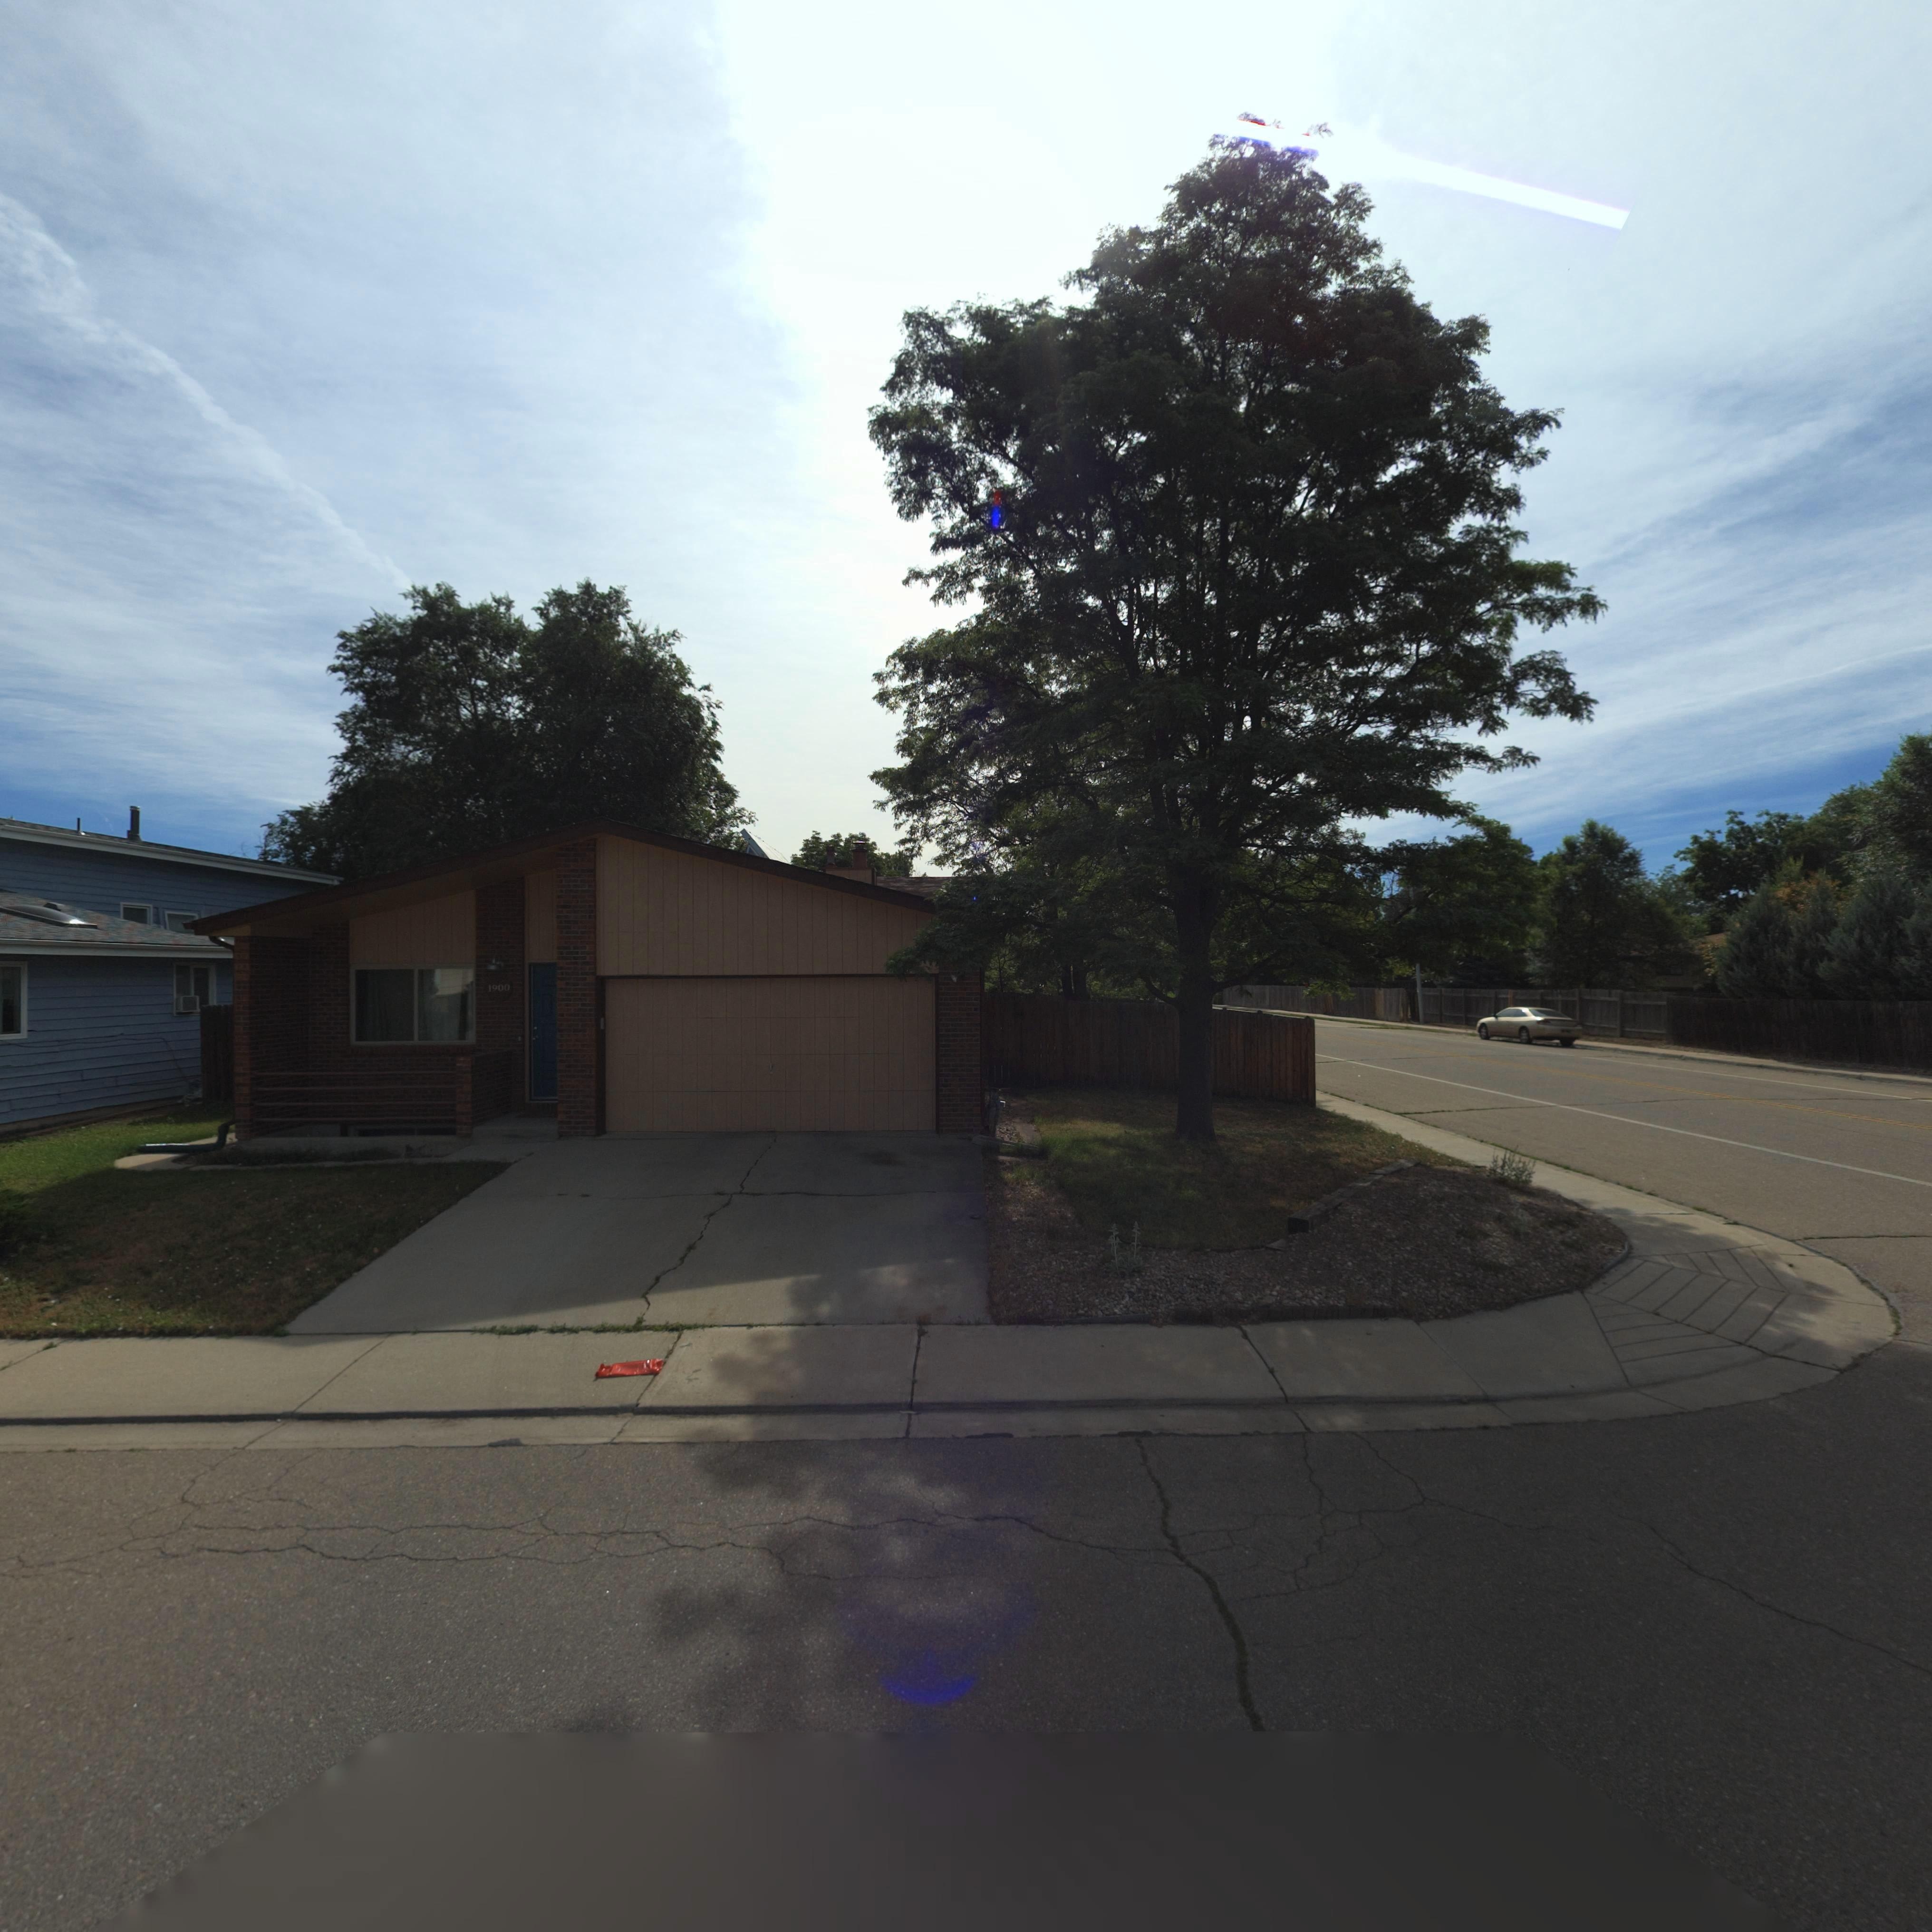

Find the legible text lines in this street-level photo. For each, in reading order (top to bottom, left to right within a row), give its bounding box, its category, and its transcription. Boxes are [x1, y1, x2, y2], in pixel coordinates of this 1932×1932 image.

[488, 983, 510, 992] StreetNumber: 1900